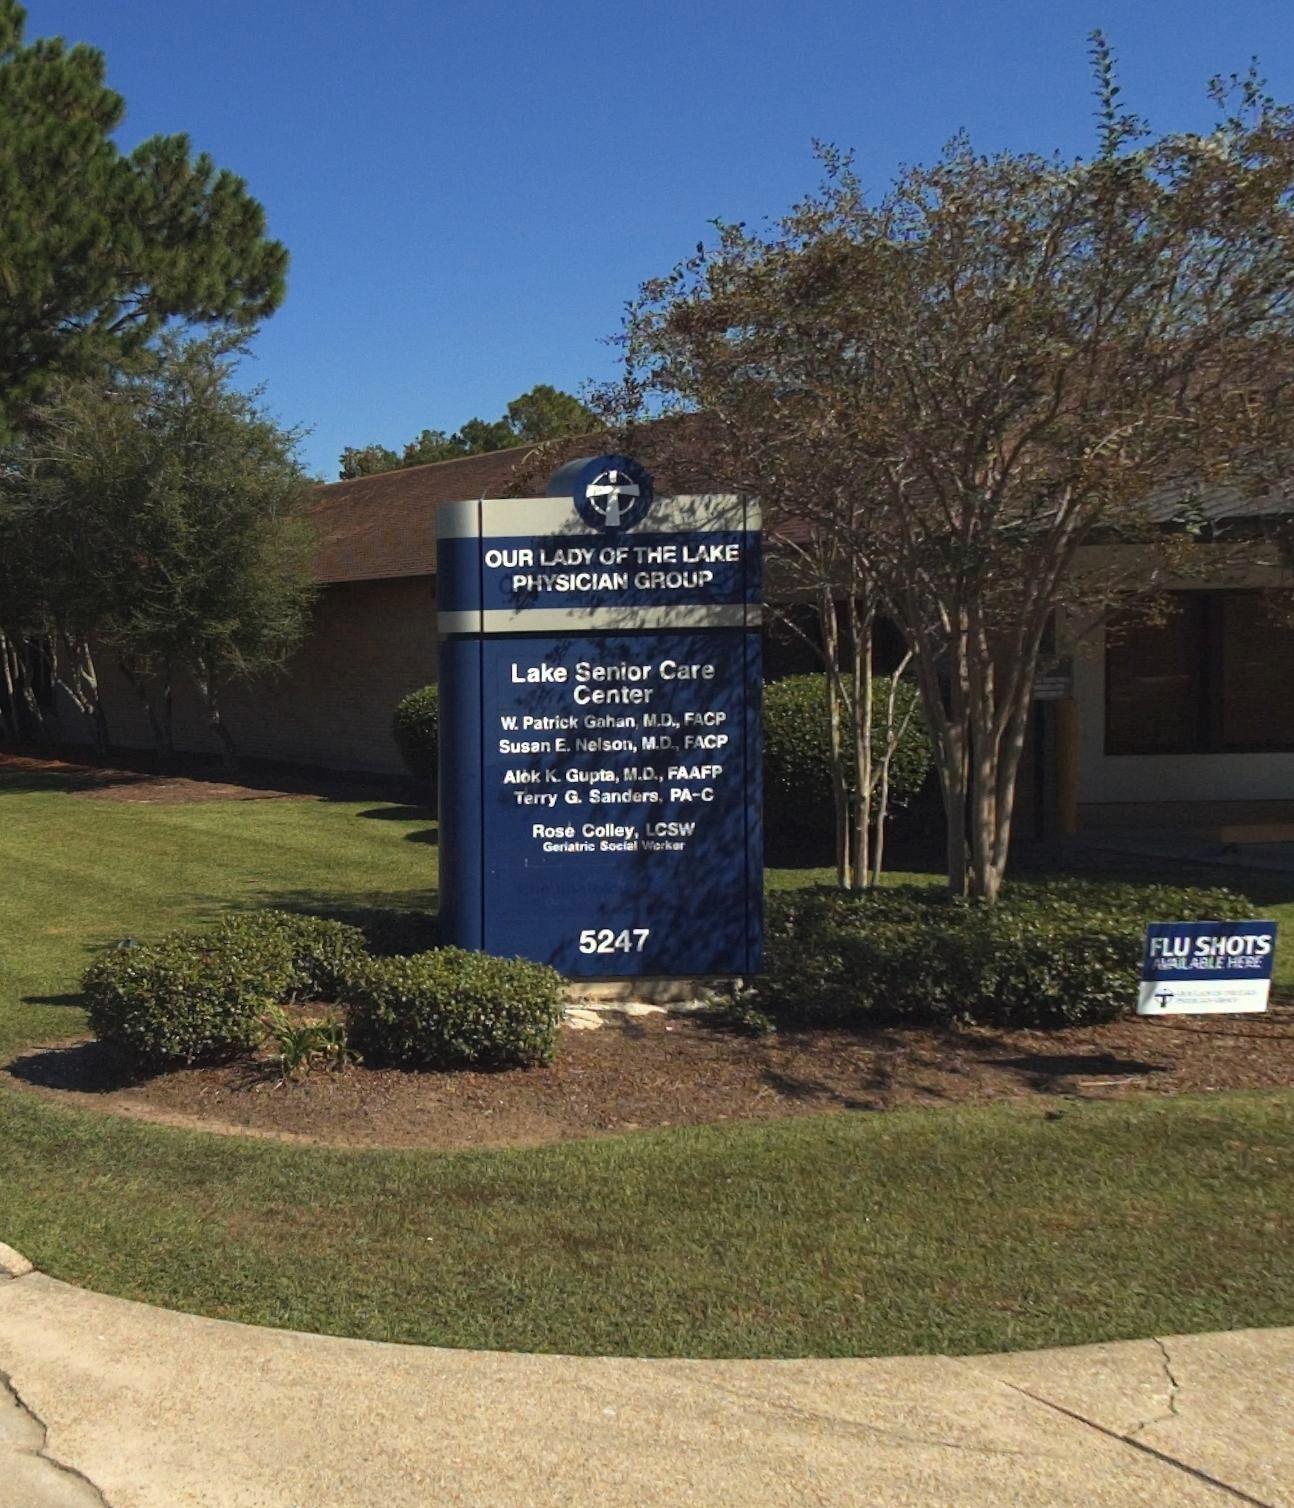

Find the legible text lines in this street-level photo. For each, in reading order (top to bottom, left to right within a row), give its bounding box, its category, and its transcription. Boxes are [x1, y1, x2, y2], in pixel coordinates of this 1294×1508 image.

[482, 541, 743, 570] BusinessName: OUR LADY OF THE LAKE
[509, 568, 715, 594] None: PHYSICIAN GROUP
[507, 656, 716, 687] None: Lake Senior Care
[570, 682, 660, 712] None: Center
[498, 708, 729, 735] None: W. Patrick Gahan, M.D., FACP
[498, 733, 730, 756] None: Susan E. Nelson, M.D., FACP
[500, 763, 727, 786] None: Alok K. Gupta, M.D., FAAFP
[512, 785, 715, 809] None: Terry G. Sanders, PA-C
[529, 819, 699, 841] None: Rose Colley, LCSW
[540, 838, 688, 856] None: Geriatric Social Worker
[576, 927, 653, 956] None: 5247
[1146, 933, 1274, 960] None: FLU SHOTS
[1147, 954, 1265, 973] None: AVAILABLE HERE